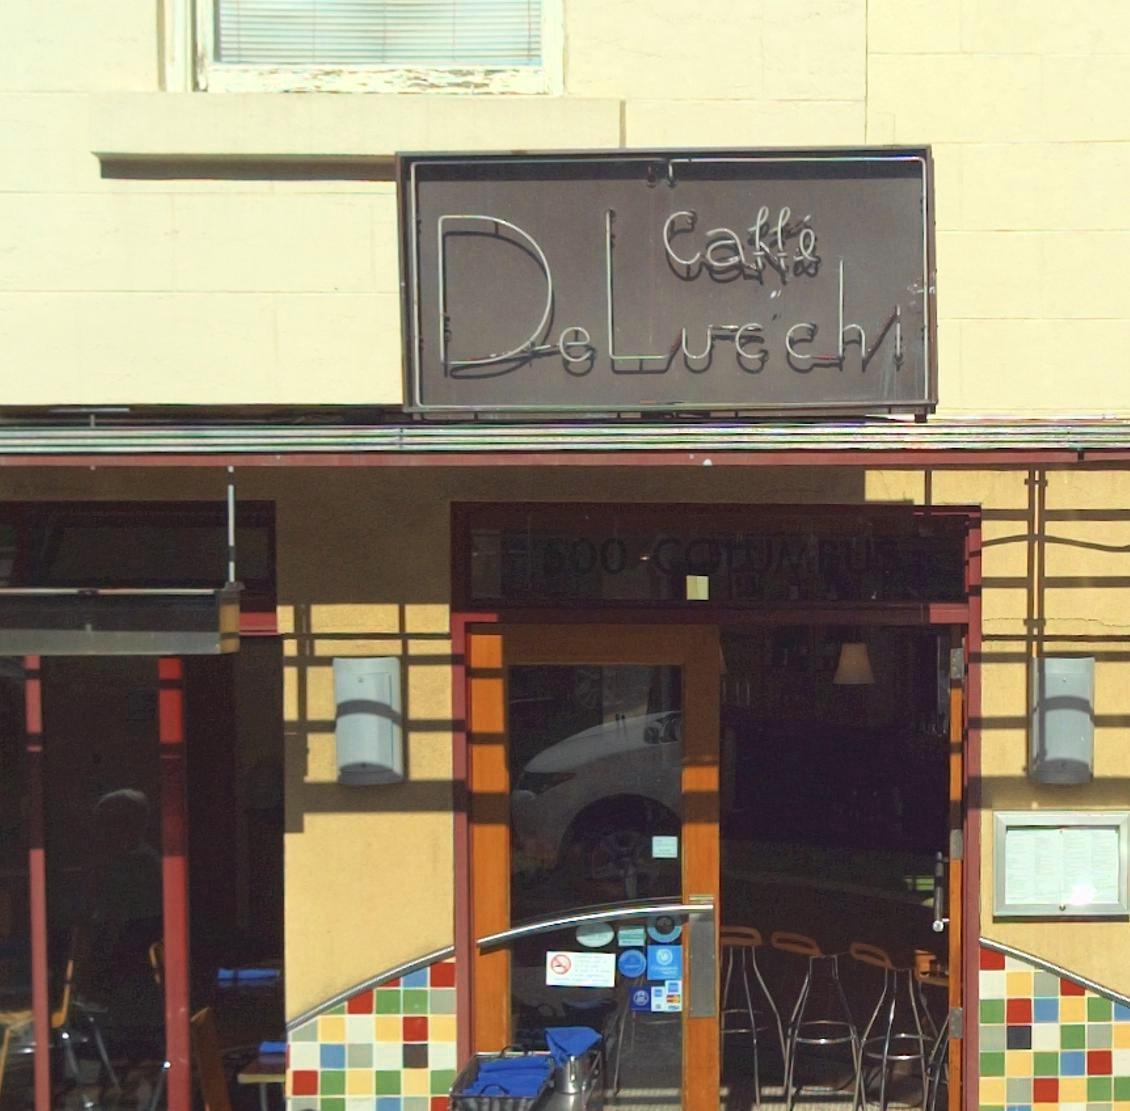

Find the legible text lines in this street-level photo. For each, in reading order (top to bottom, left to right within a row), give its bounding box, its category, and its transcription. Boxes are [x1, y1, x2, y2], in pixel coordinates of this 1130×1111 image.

[660, 204, 829, 274] BusinessName: Caffe
[434, 205, 912, 372] BusinessName: DeLucchi
[541, 536, 629, 576] StreetNumber: 500
[650, 536, 901, 577] StreetName: COLUMBUS